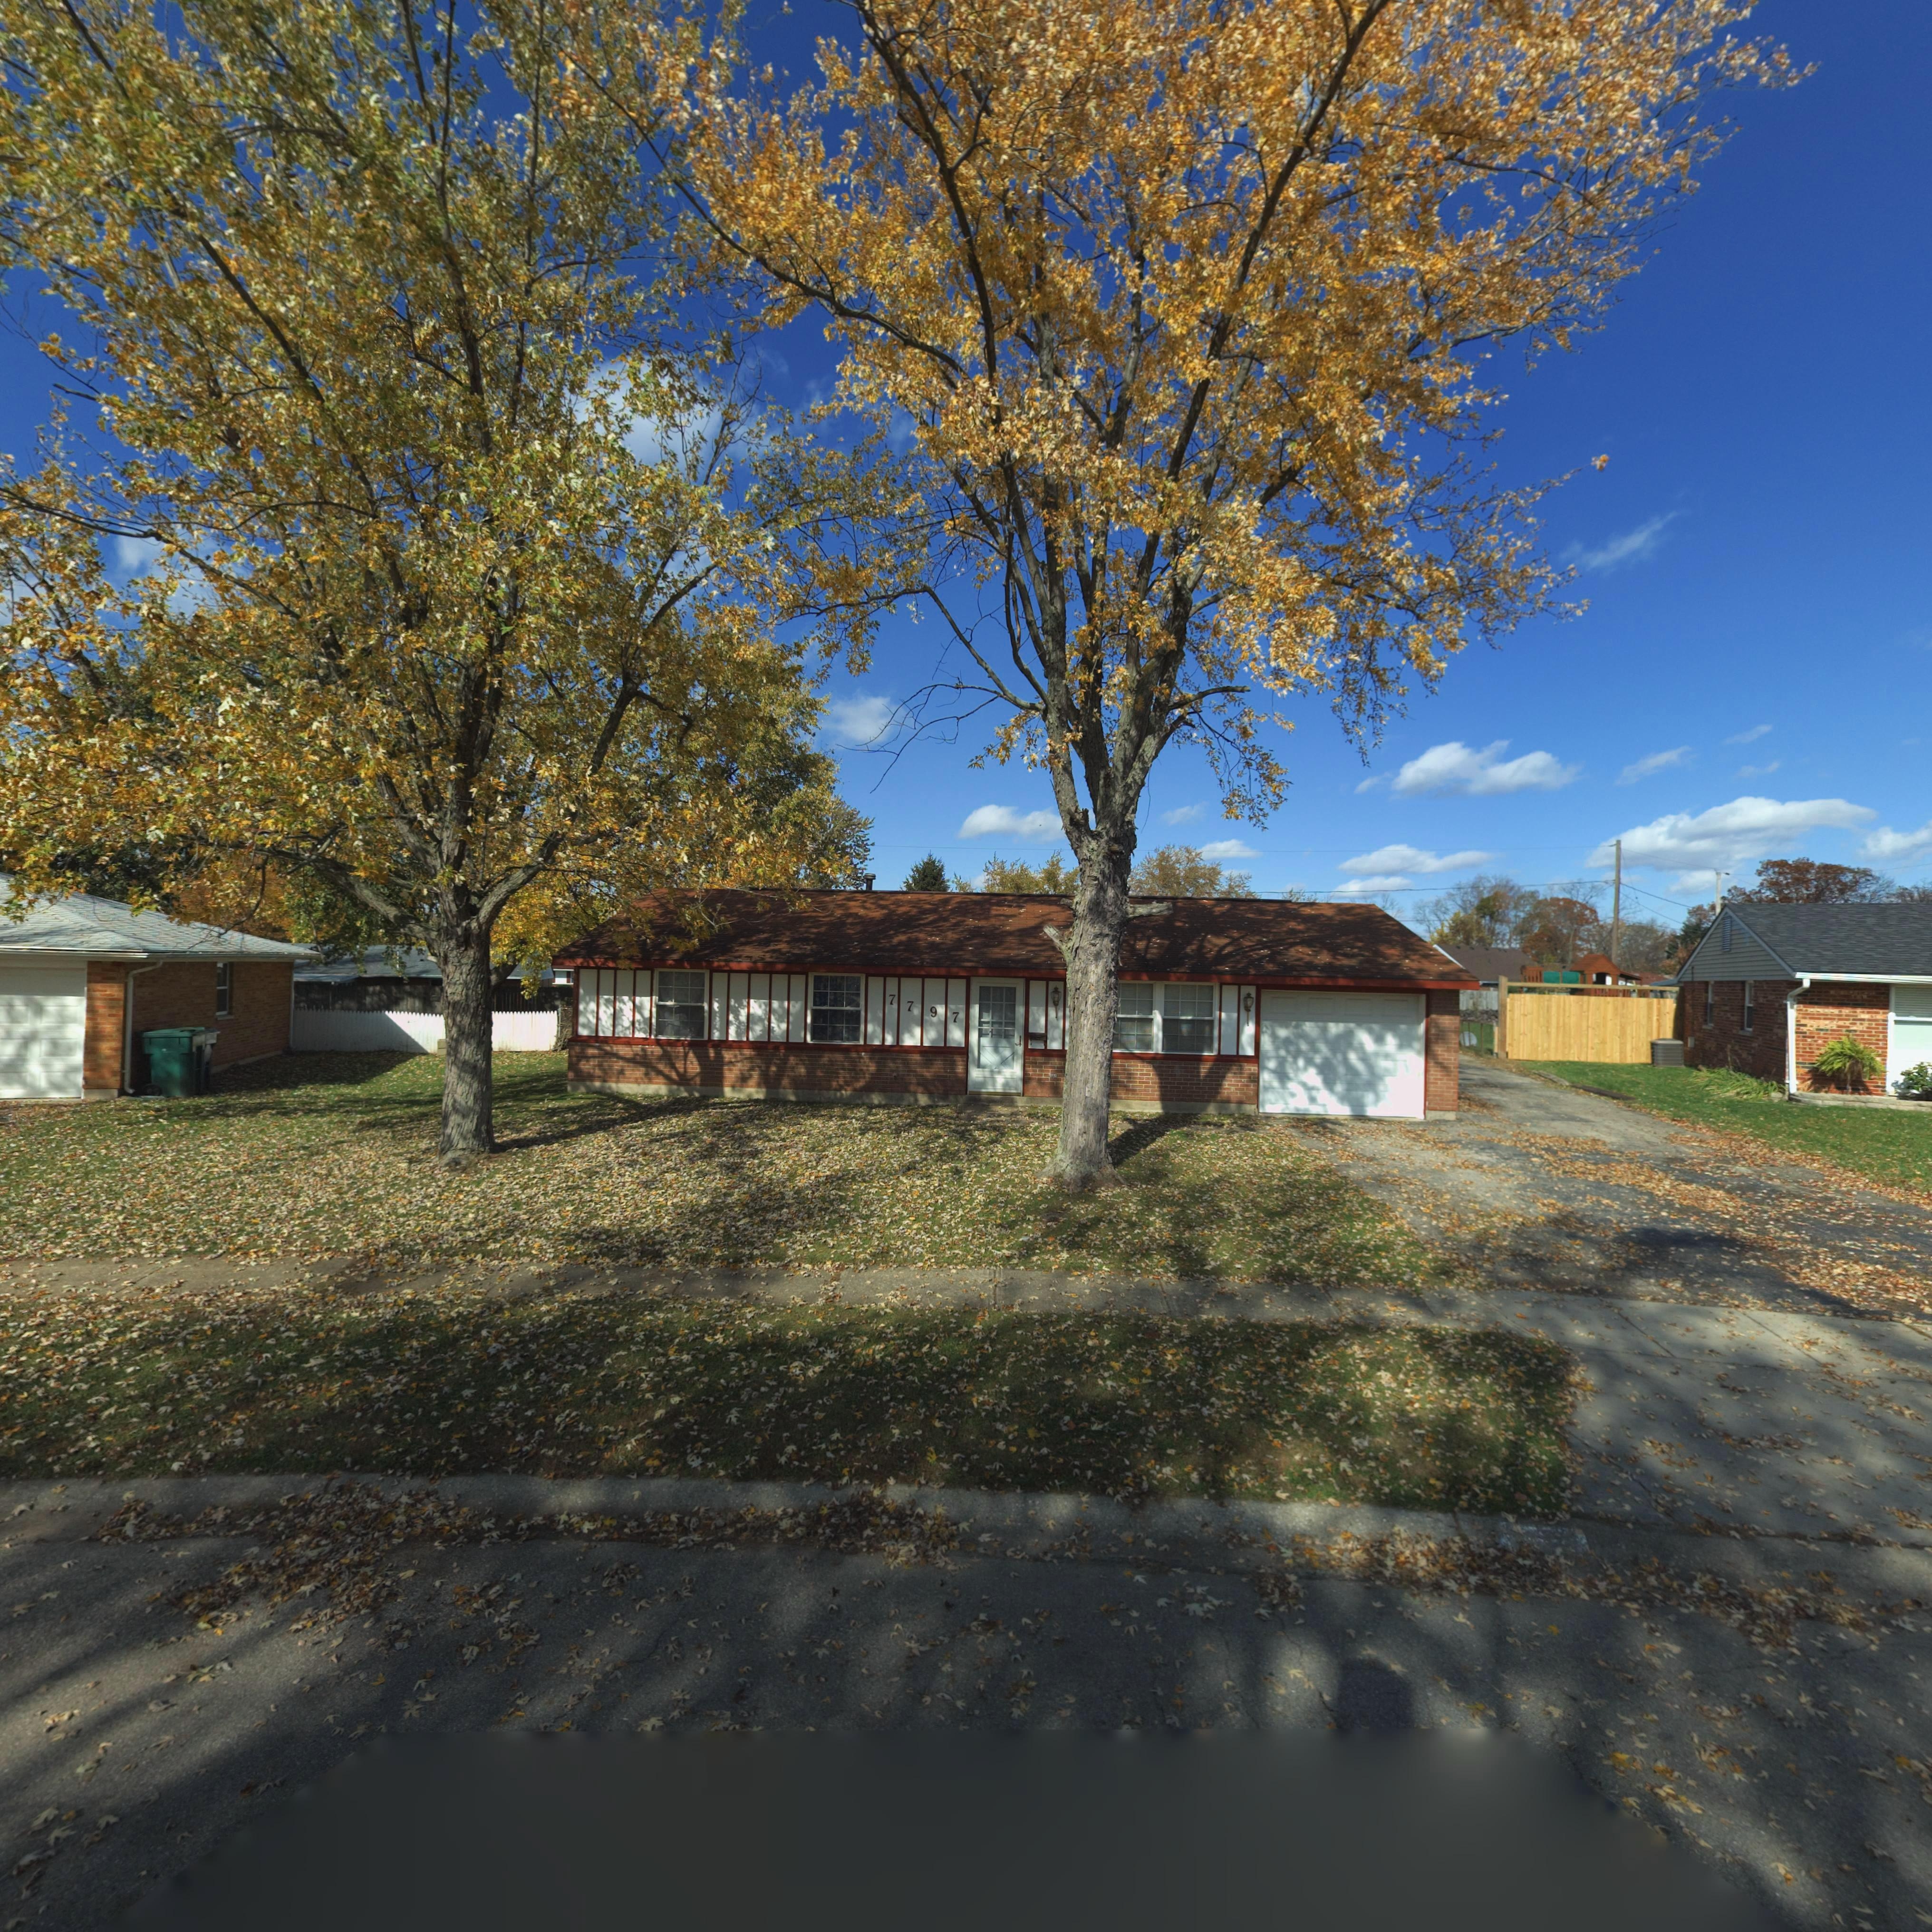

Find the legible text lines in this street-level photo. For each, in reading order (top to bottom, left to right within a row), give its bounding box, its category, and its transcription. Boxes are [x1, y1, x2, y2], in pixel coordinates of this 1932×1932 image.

[889, 994, 960, 1024] StreetNumber: 7797